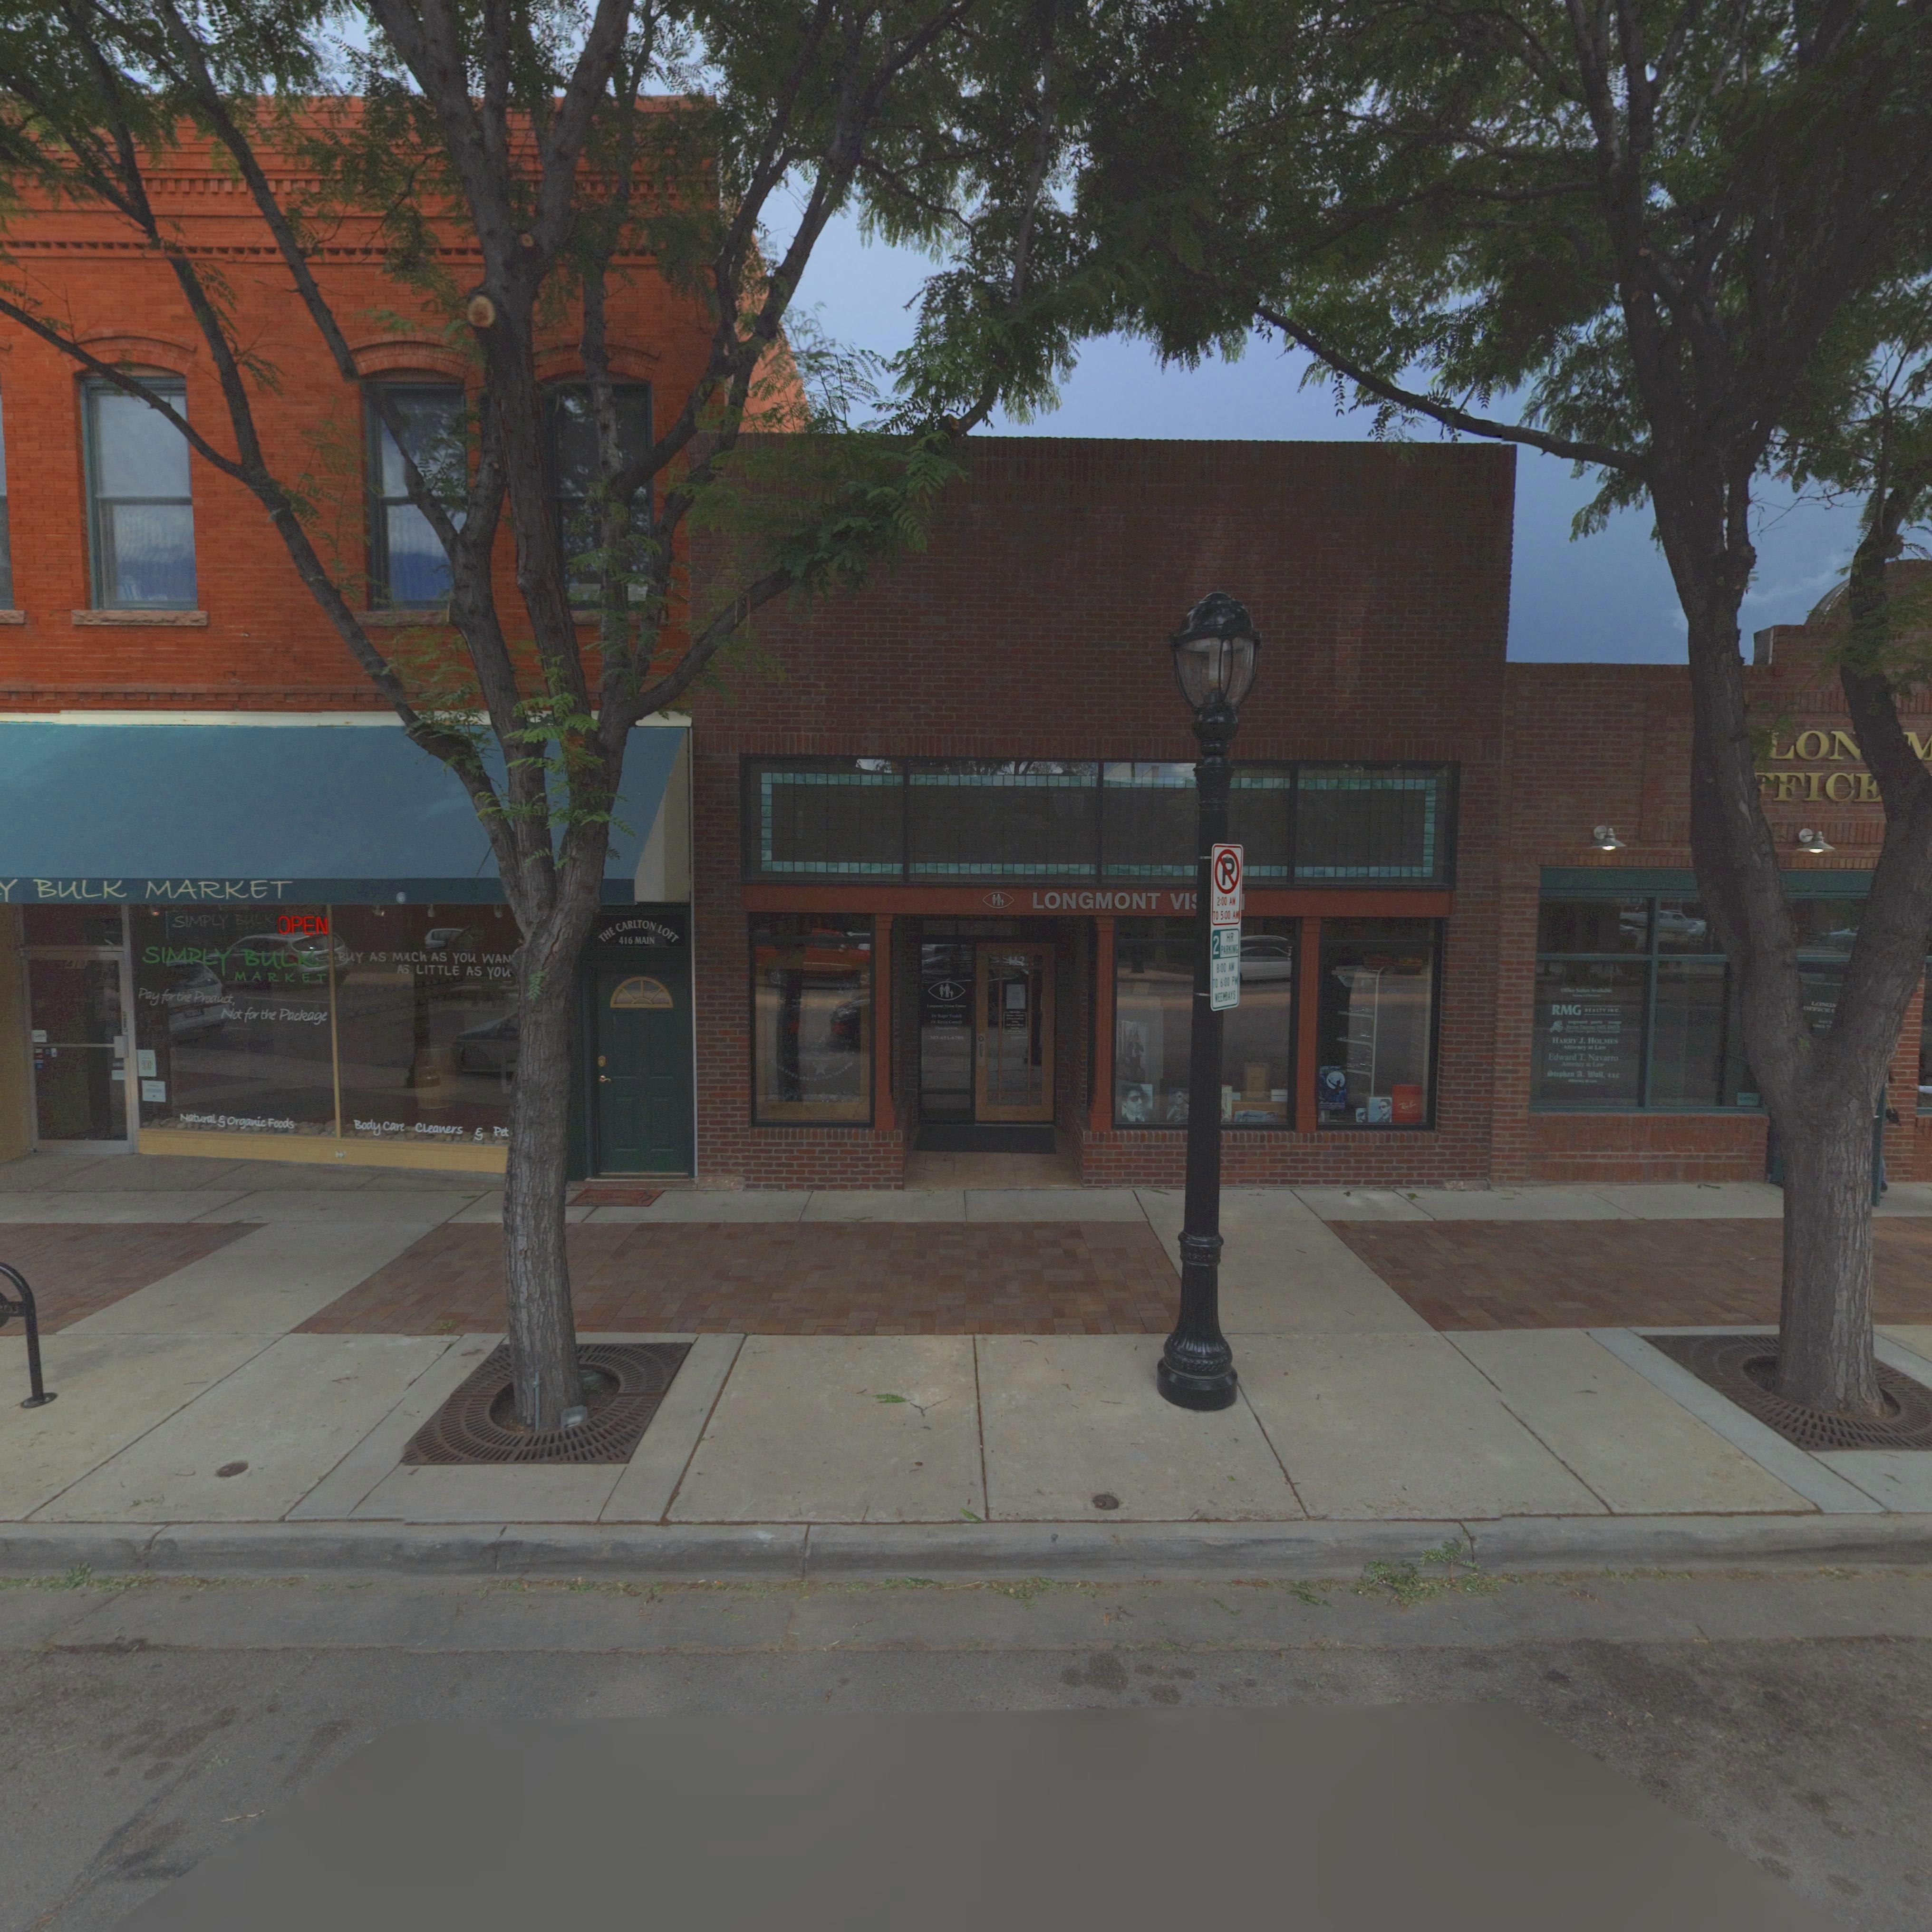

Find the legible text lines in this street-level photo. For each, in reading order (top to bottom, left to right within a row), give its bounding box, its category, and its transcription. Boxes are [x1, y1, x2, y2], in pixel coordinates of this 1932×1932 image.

[1763, 728, 1929, 762] StreetName: LO******
[1752, 771, 1883, 803] BusinessName: **FIC* ******
[3, 877, 293, 902] BusinessName: ****** BULK MARKET
[1032, 891, 1245, 910] BusinessName: LONGMONT VI****
[172, 912, 275, 928] BusinessName: SIMPLY BULK
[597, 919, 680, 943] BusinessName: THE CARLTON LOFT
[618, 936, 633, 945] StreetNumber: 416
[635, 936, 655, 944] StreetName: MAIN
[141, 946, 321, 976] BusinessName: SIMPLY BULK
[1005, 956, 1025, 966] StreetNumber: 412
[234, 970, 327, 983] BusinessName: MARKET
[927, 1004, 966, 1008] BusinessName: L****** V***** C*****
[1551, 1004, 1581, 1015] BusinessName: RMG
[1584, 1008, 1619, 1012] BusinessName: **AL** I*C
[1802, 1005, 1836, 1013] BusinessName: OF**** 
[1811, 1001, 1837, 1007] BusinessName: LON*****